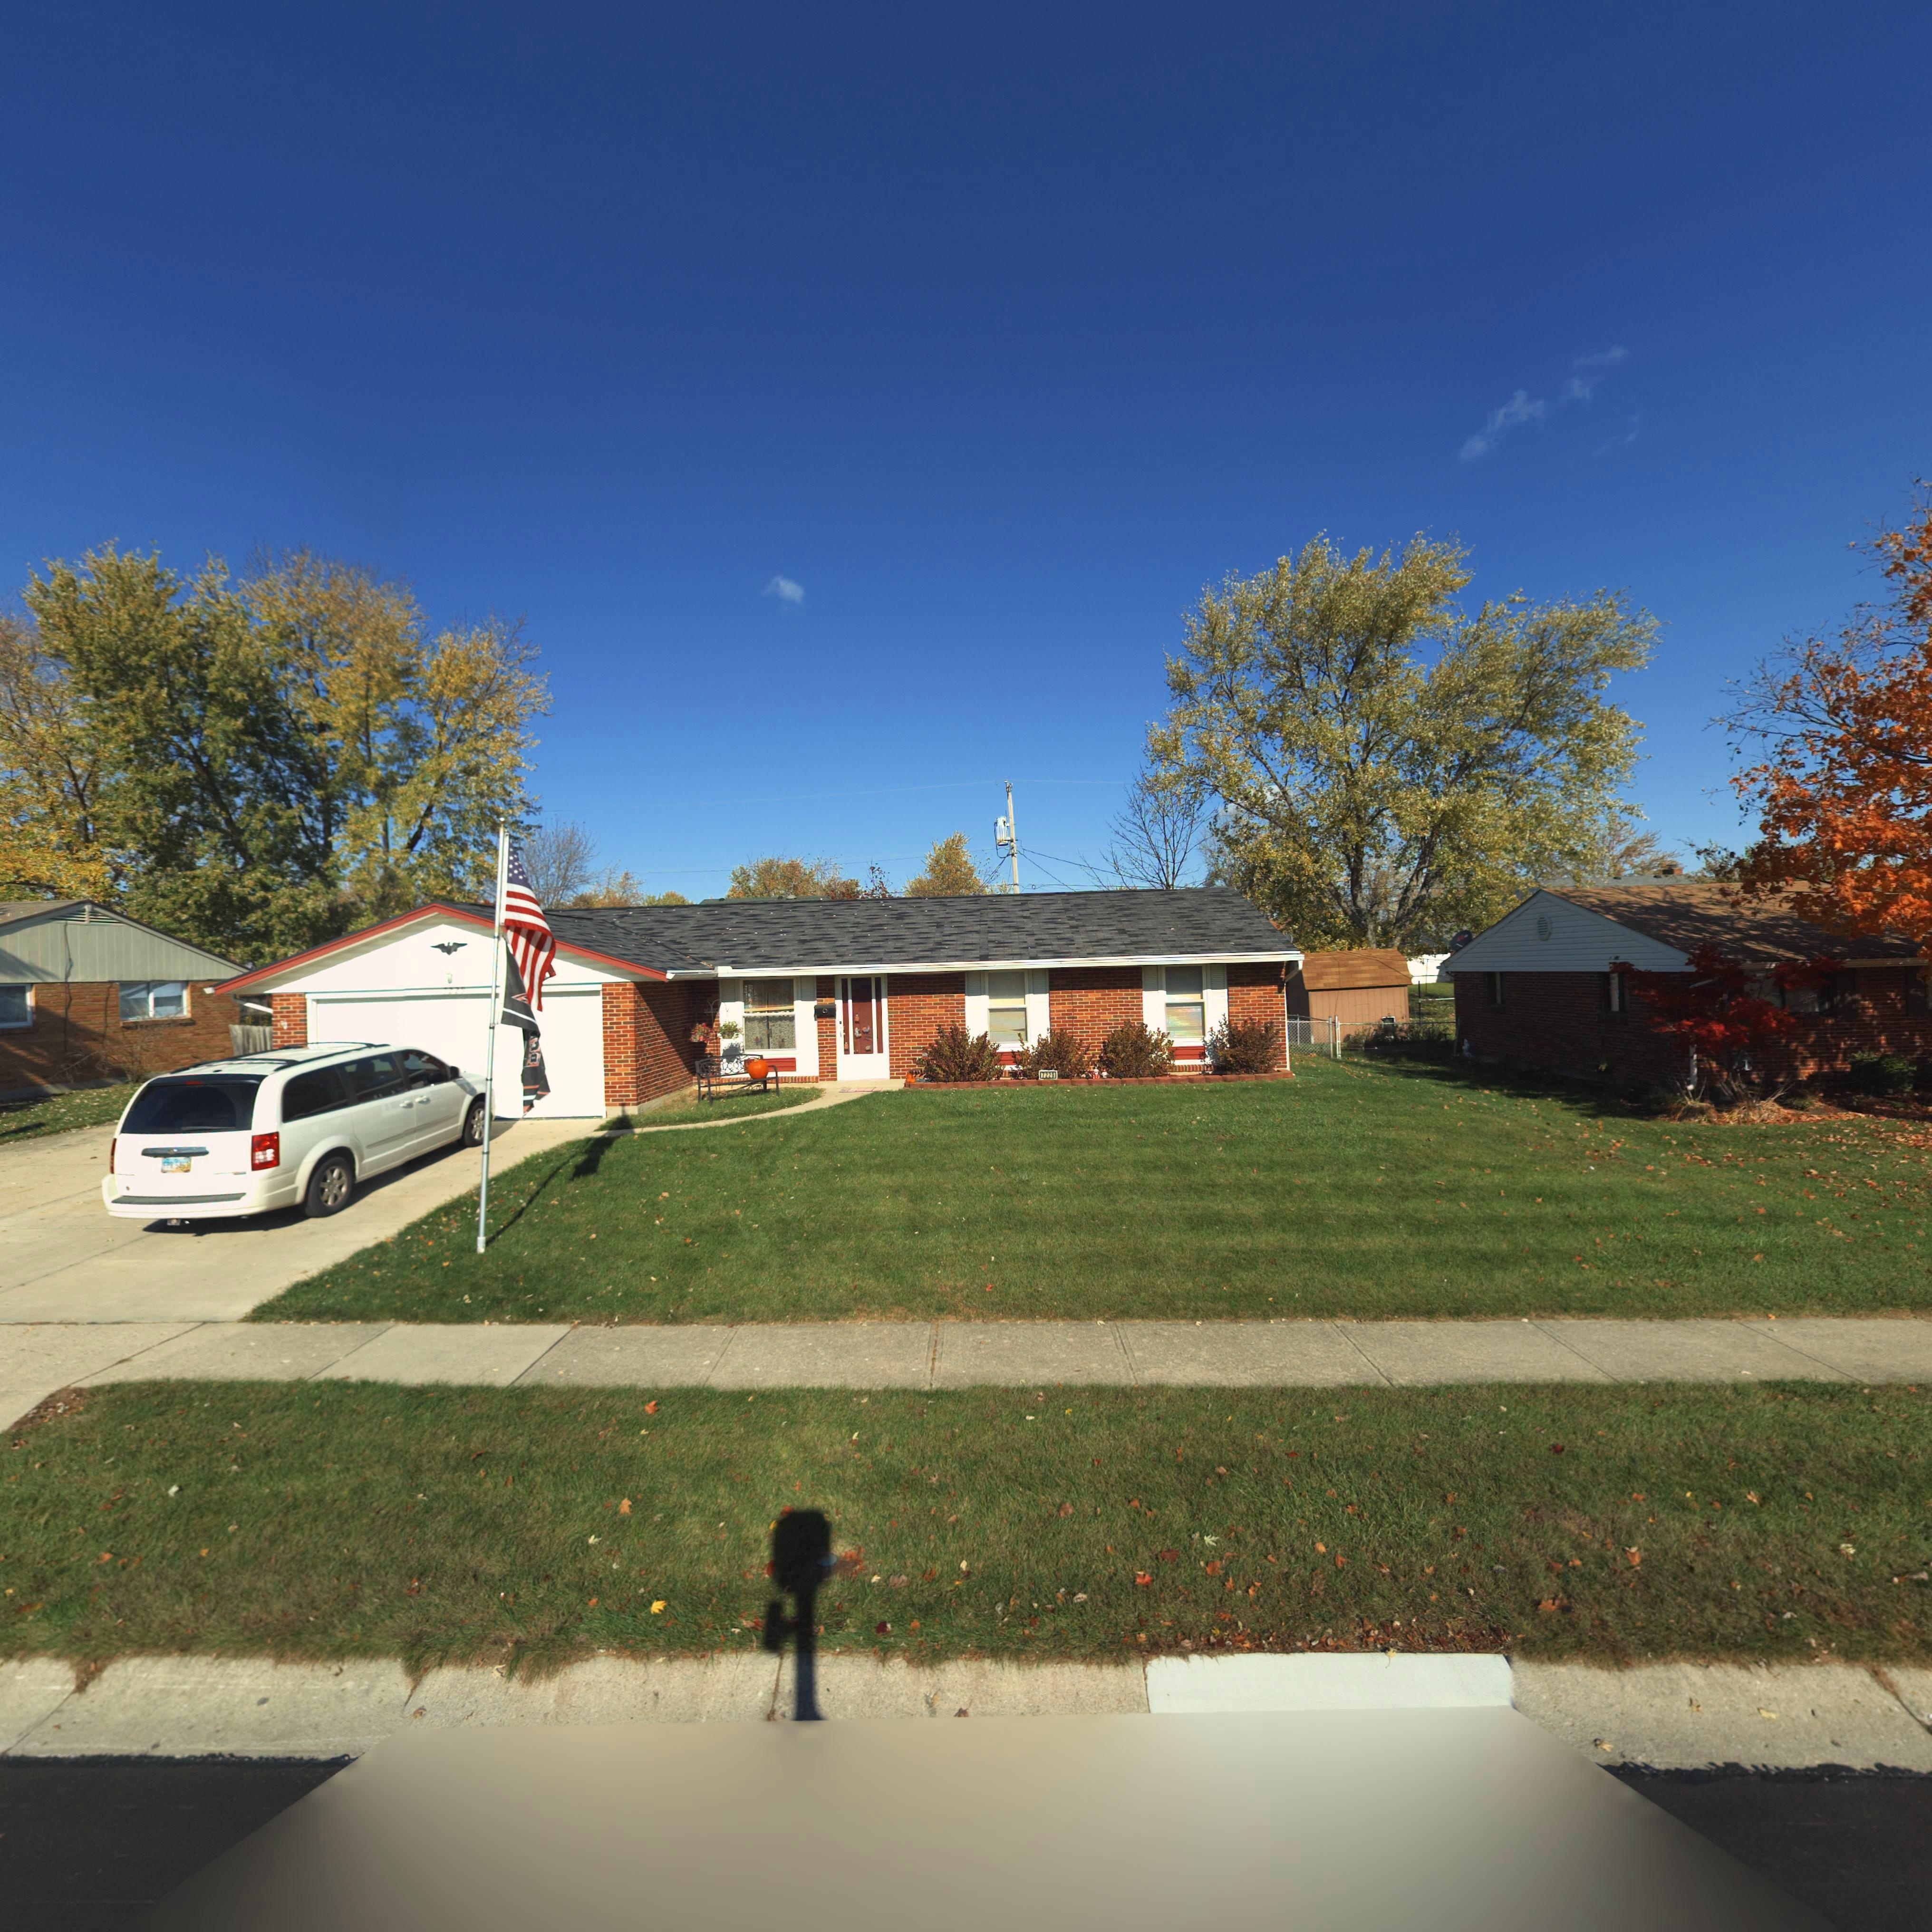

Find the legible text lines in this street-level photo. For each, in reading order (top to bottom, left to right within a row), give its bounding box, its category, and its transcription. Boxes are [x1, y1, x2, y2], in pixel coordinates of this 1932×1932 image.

[1041, 1071, 1055, 1079] StreetNumber: 7229